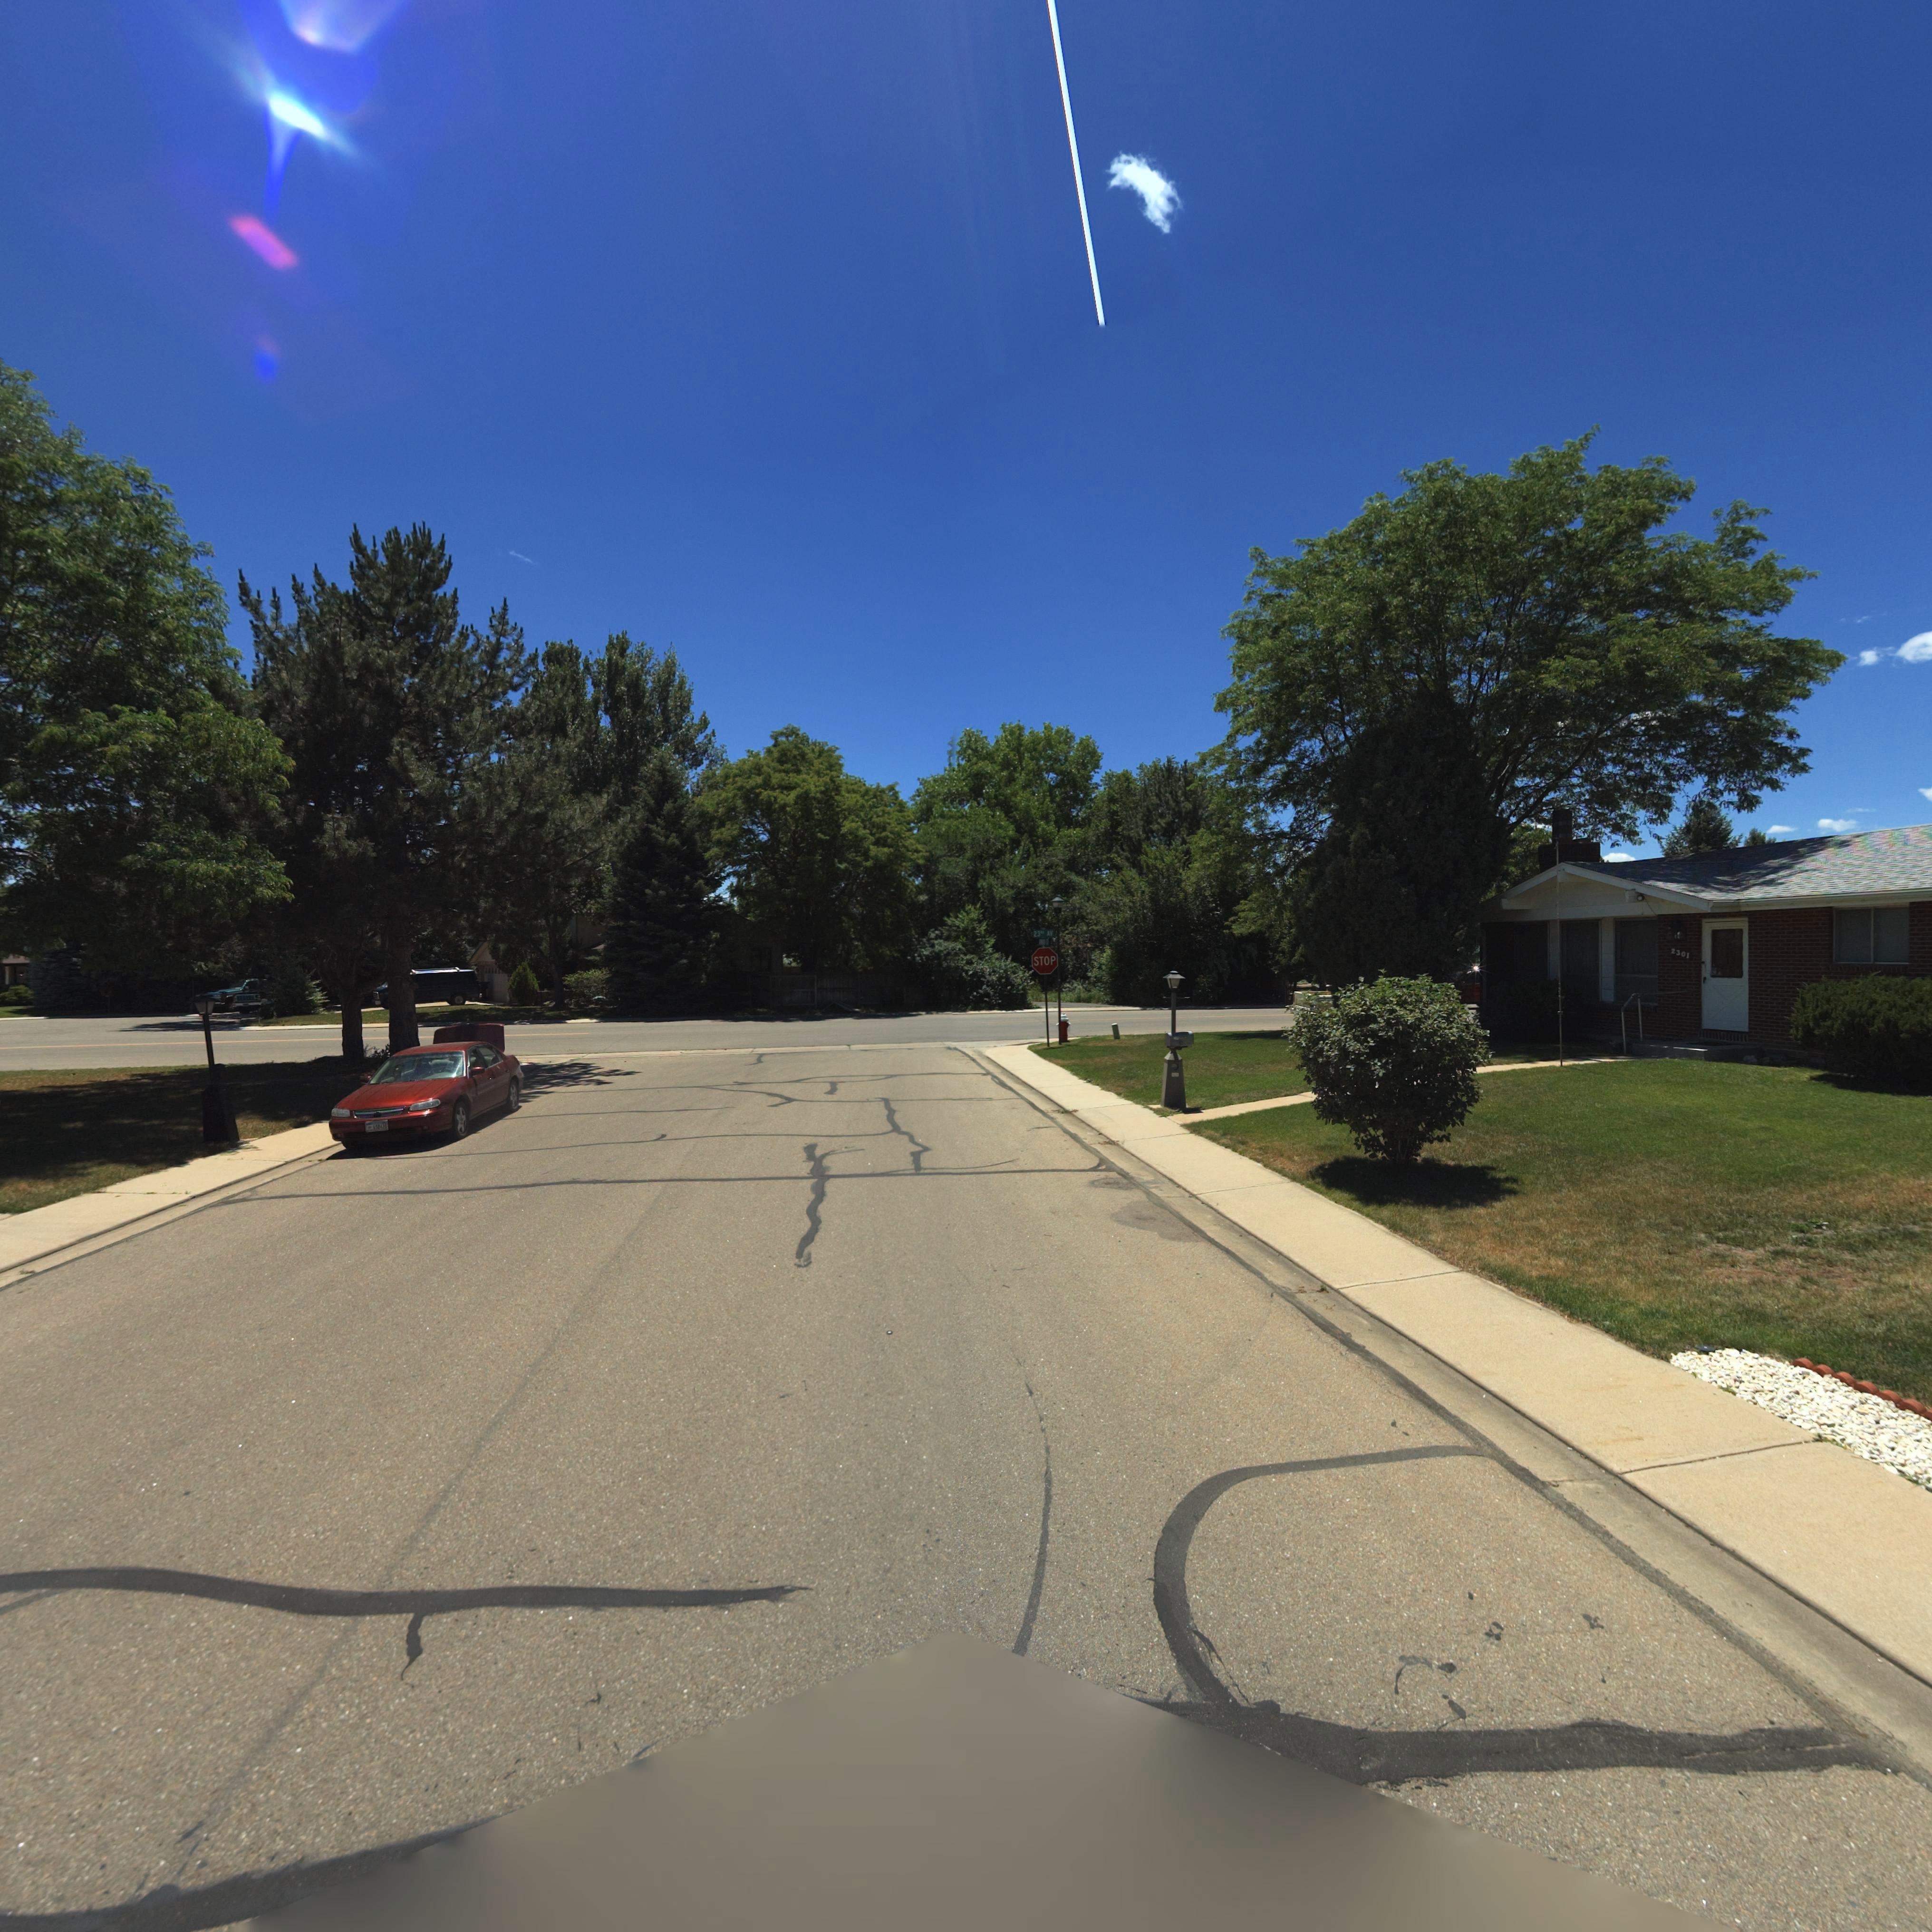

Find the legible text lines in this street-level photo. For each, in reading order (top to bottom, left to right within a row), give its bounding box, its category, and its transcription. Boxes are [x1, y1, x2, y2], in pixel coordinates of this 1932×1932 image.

[1033, 930, 1053, 937] StreetName: 23rd AV
[1670, 947, 1690, 959] StreetNumber: 2301